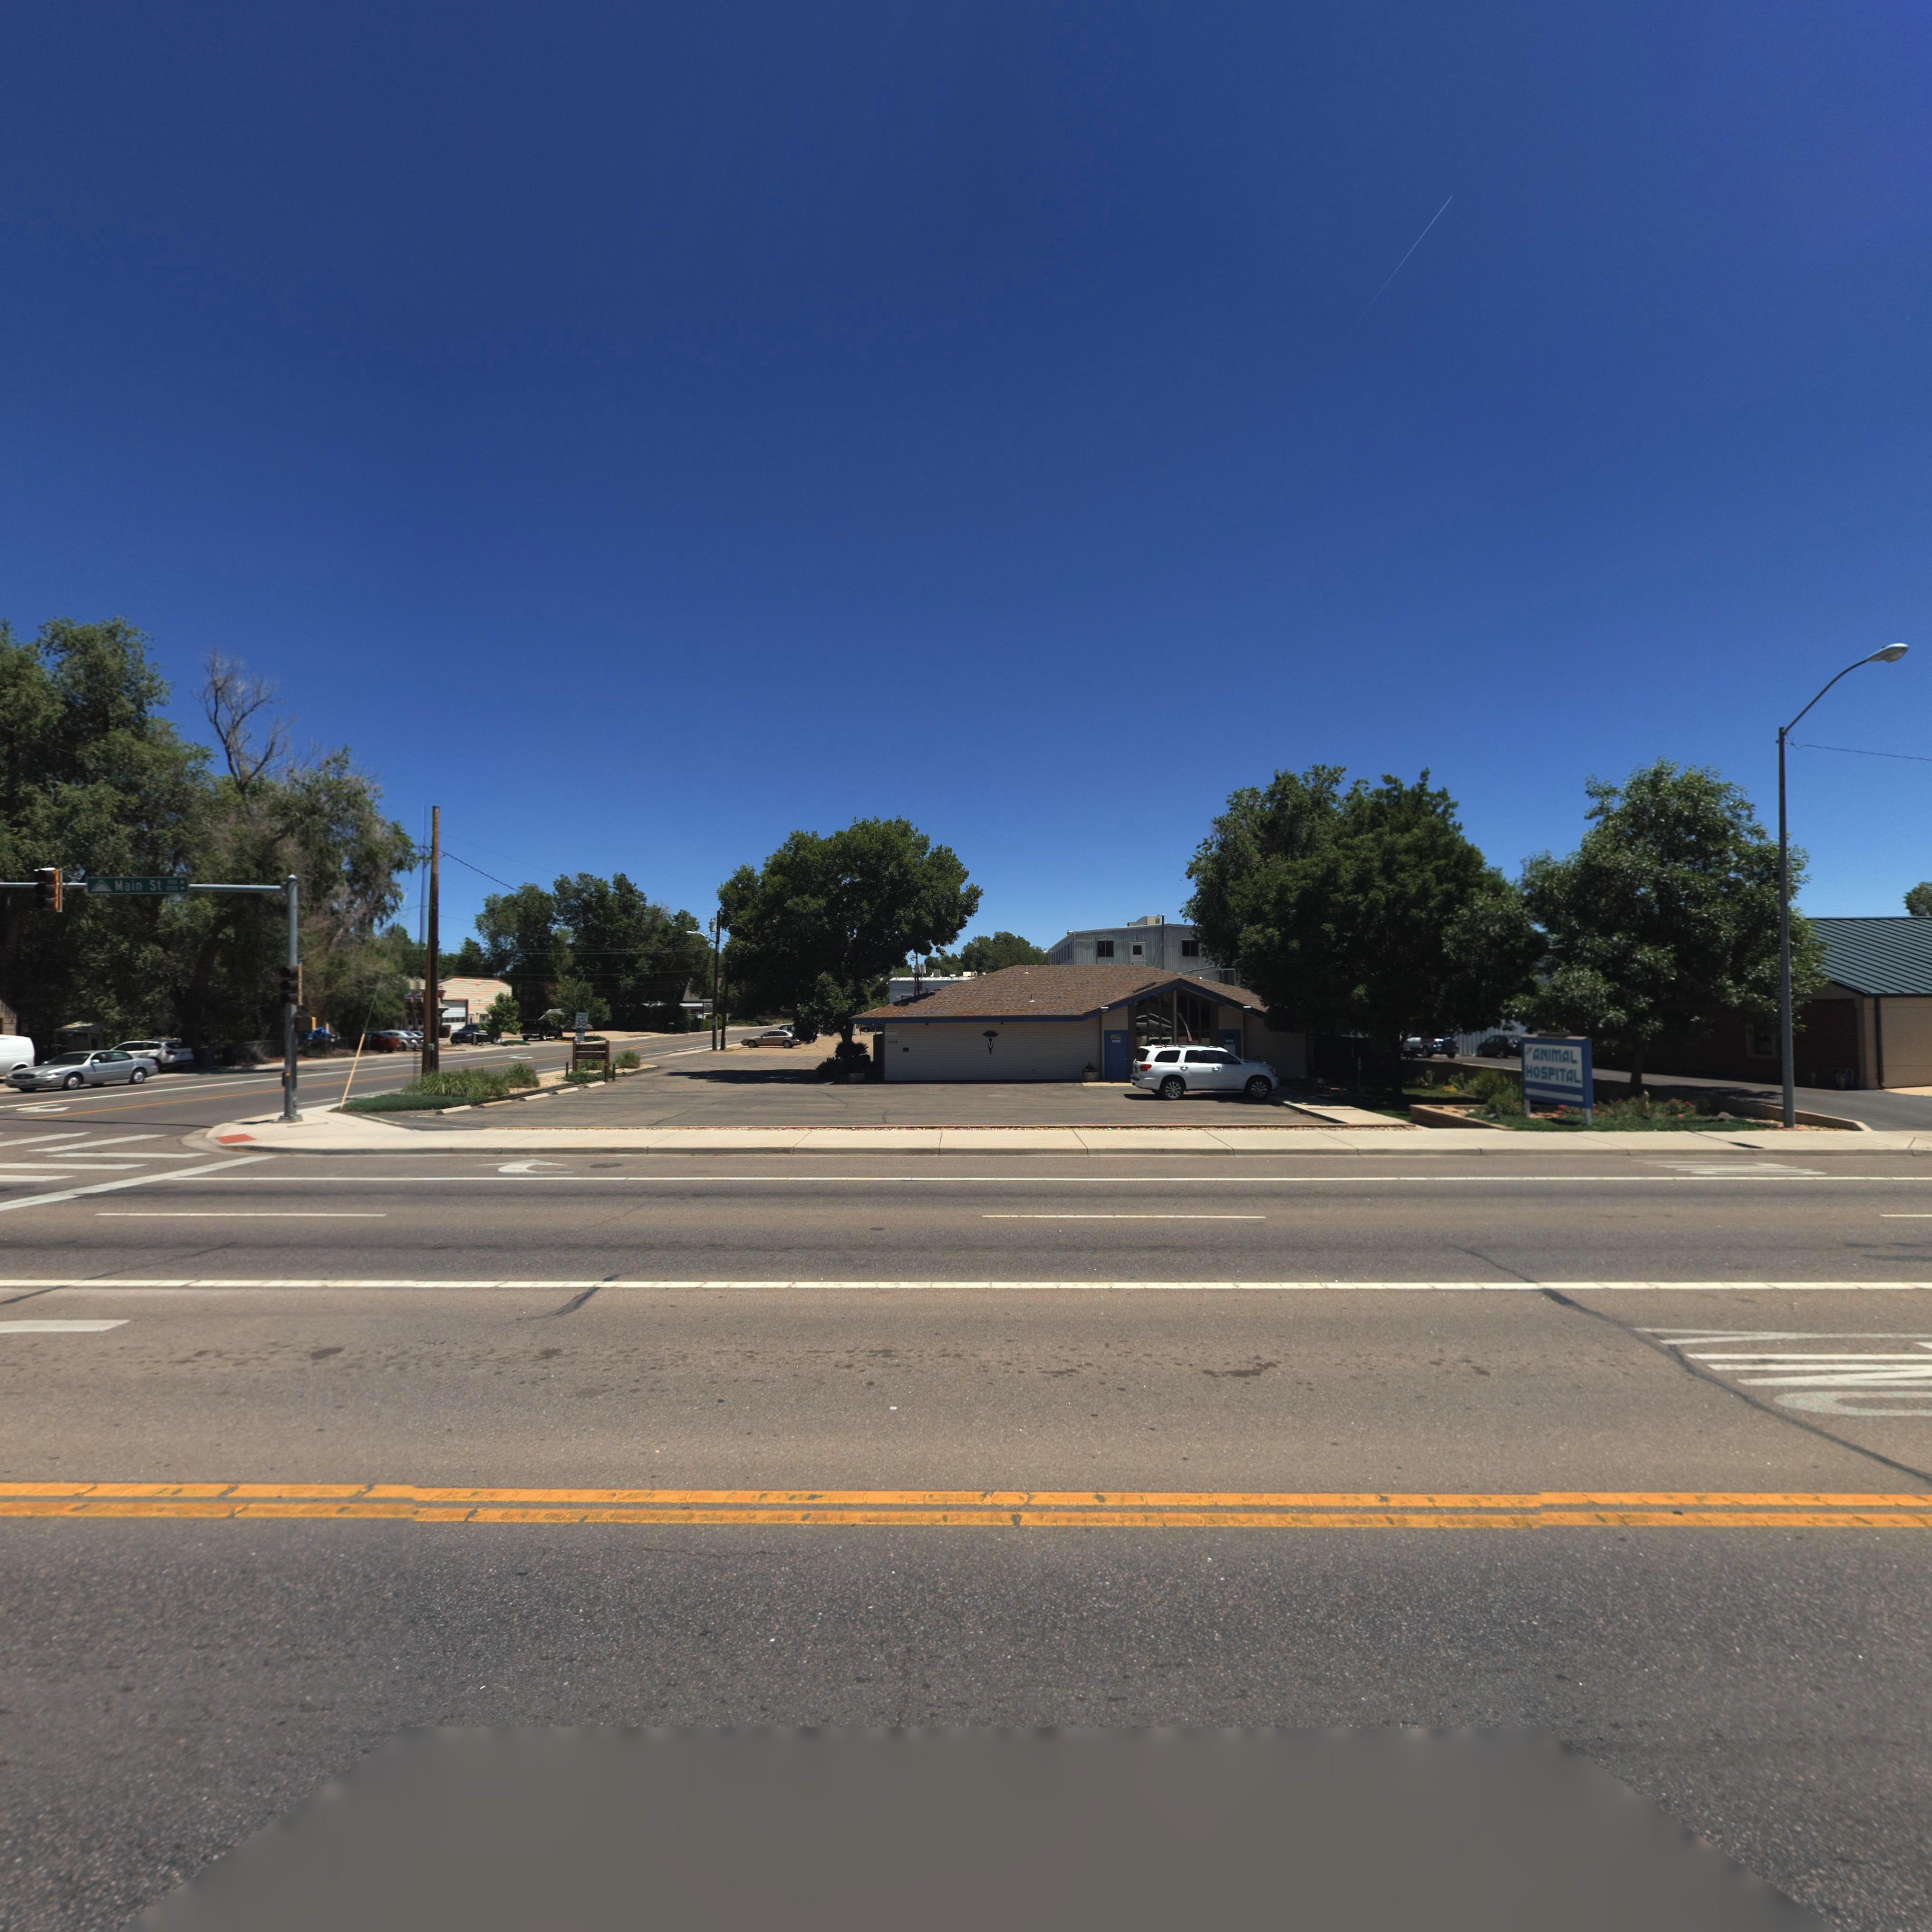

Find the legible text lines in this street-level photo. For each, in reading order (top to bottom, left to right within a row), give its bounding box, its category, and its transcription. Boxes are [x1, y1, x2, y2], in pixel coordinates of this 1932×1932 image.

[114, 879, 161, 891] StreetName: MaIn St
[167, 879, 178, 884] StreetNumberRange: 500
[165, 884, 185, 890] StreetNumberRange: 1200->
[887, 1040, 898, 1043] StreetNumber: 1250
[1532, 1047, 1579, 1065] BusinessName: ANIMAL
[1525, 1063, 1582, 1084] BusinessName: HOSPITAL